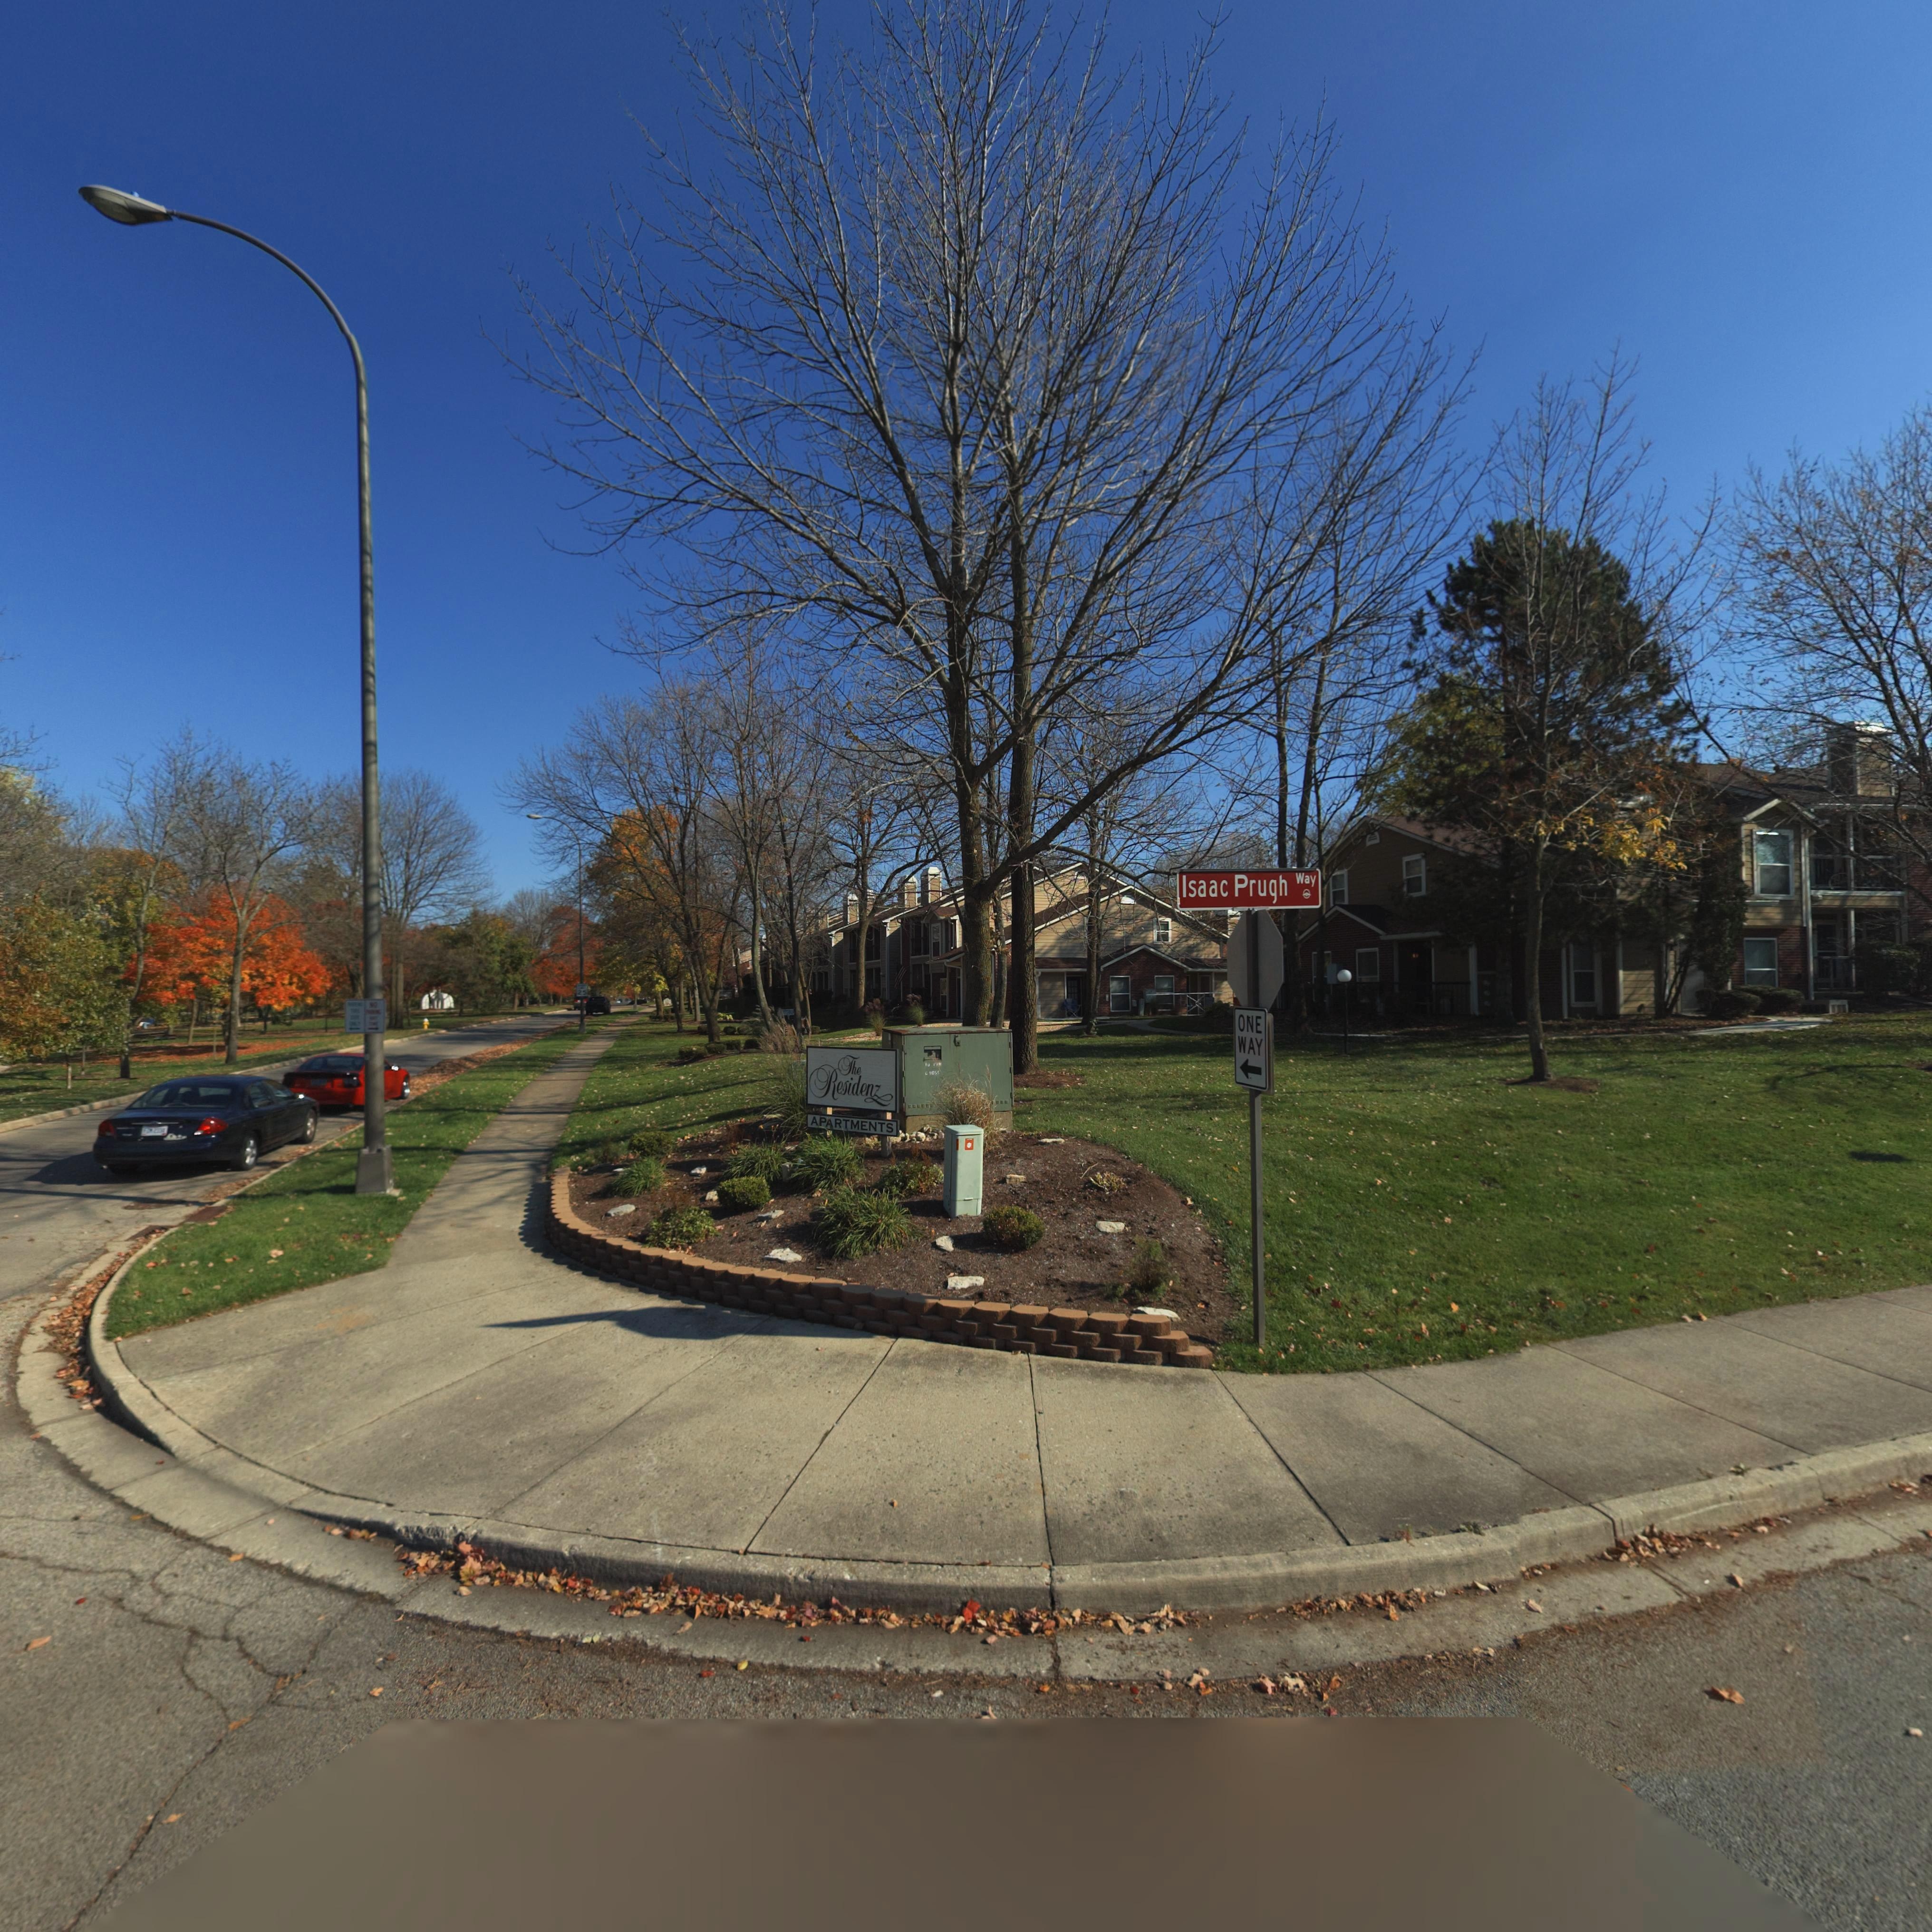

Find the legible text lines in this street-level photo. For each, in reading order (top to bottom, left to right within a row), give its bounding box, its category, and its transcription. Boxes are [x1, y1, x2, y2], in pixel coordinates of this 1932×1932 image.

[1181, 871, 1317, 905] StreetName: Isaac Prugh Way
[577, 989, 586, 995] None: 25
[365, 1009, 381, 1015] None: PARKING
[369, 1001, 377, 1008] None: NO
[1238, 1013, 1262, 1034] None: ONE
[1237, 1035, 1263, 1056] None: WAY
[838, 1052, 862, 1075] BusinessName: The
[807, 1057, 894, 1109] BusinessName: Residenz
[810, 1116, 894, 1134] None: APARTMENTS